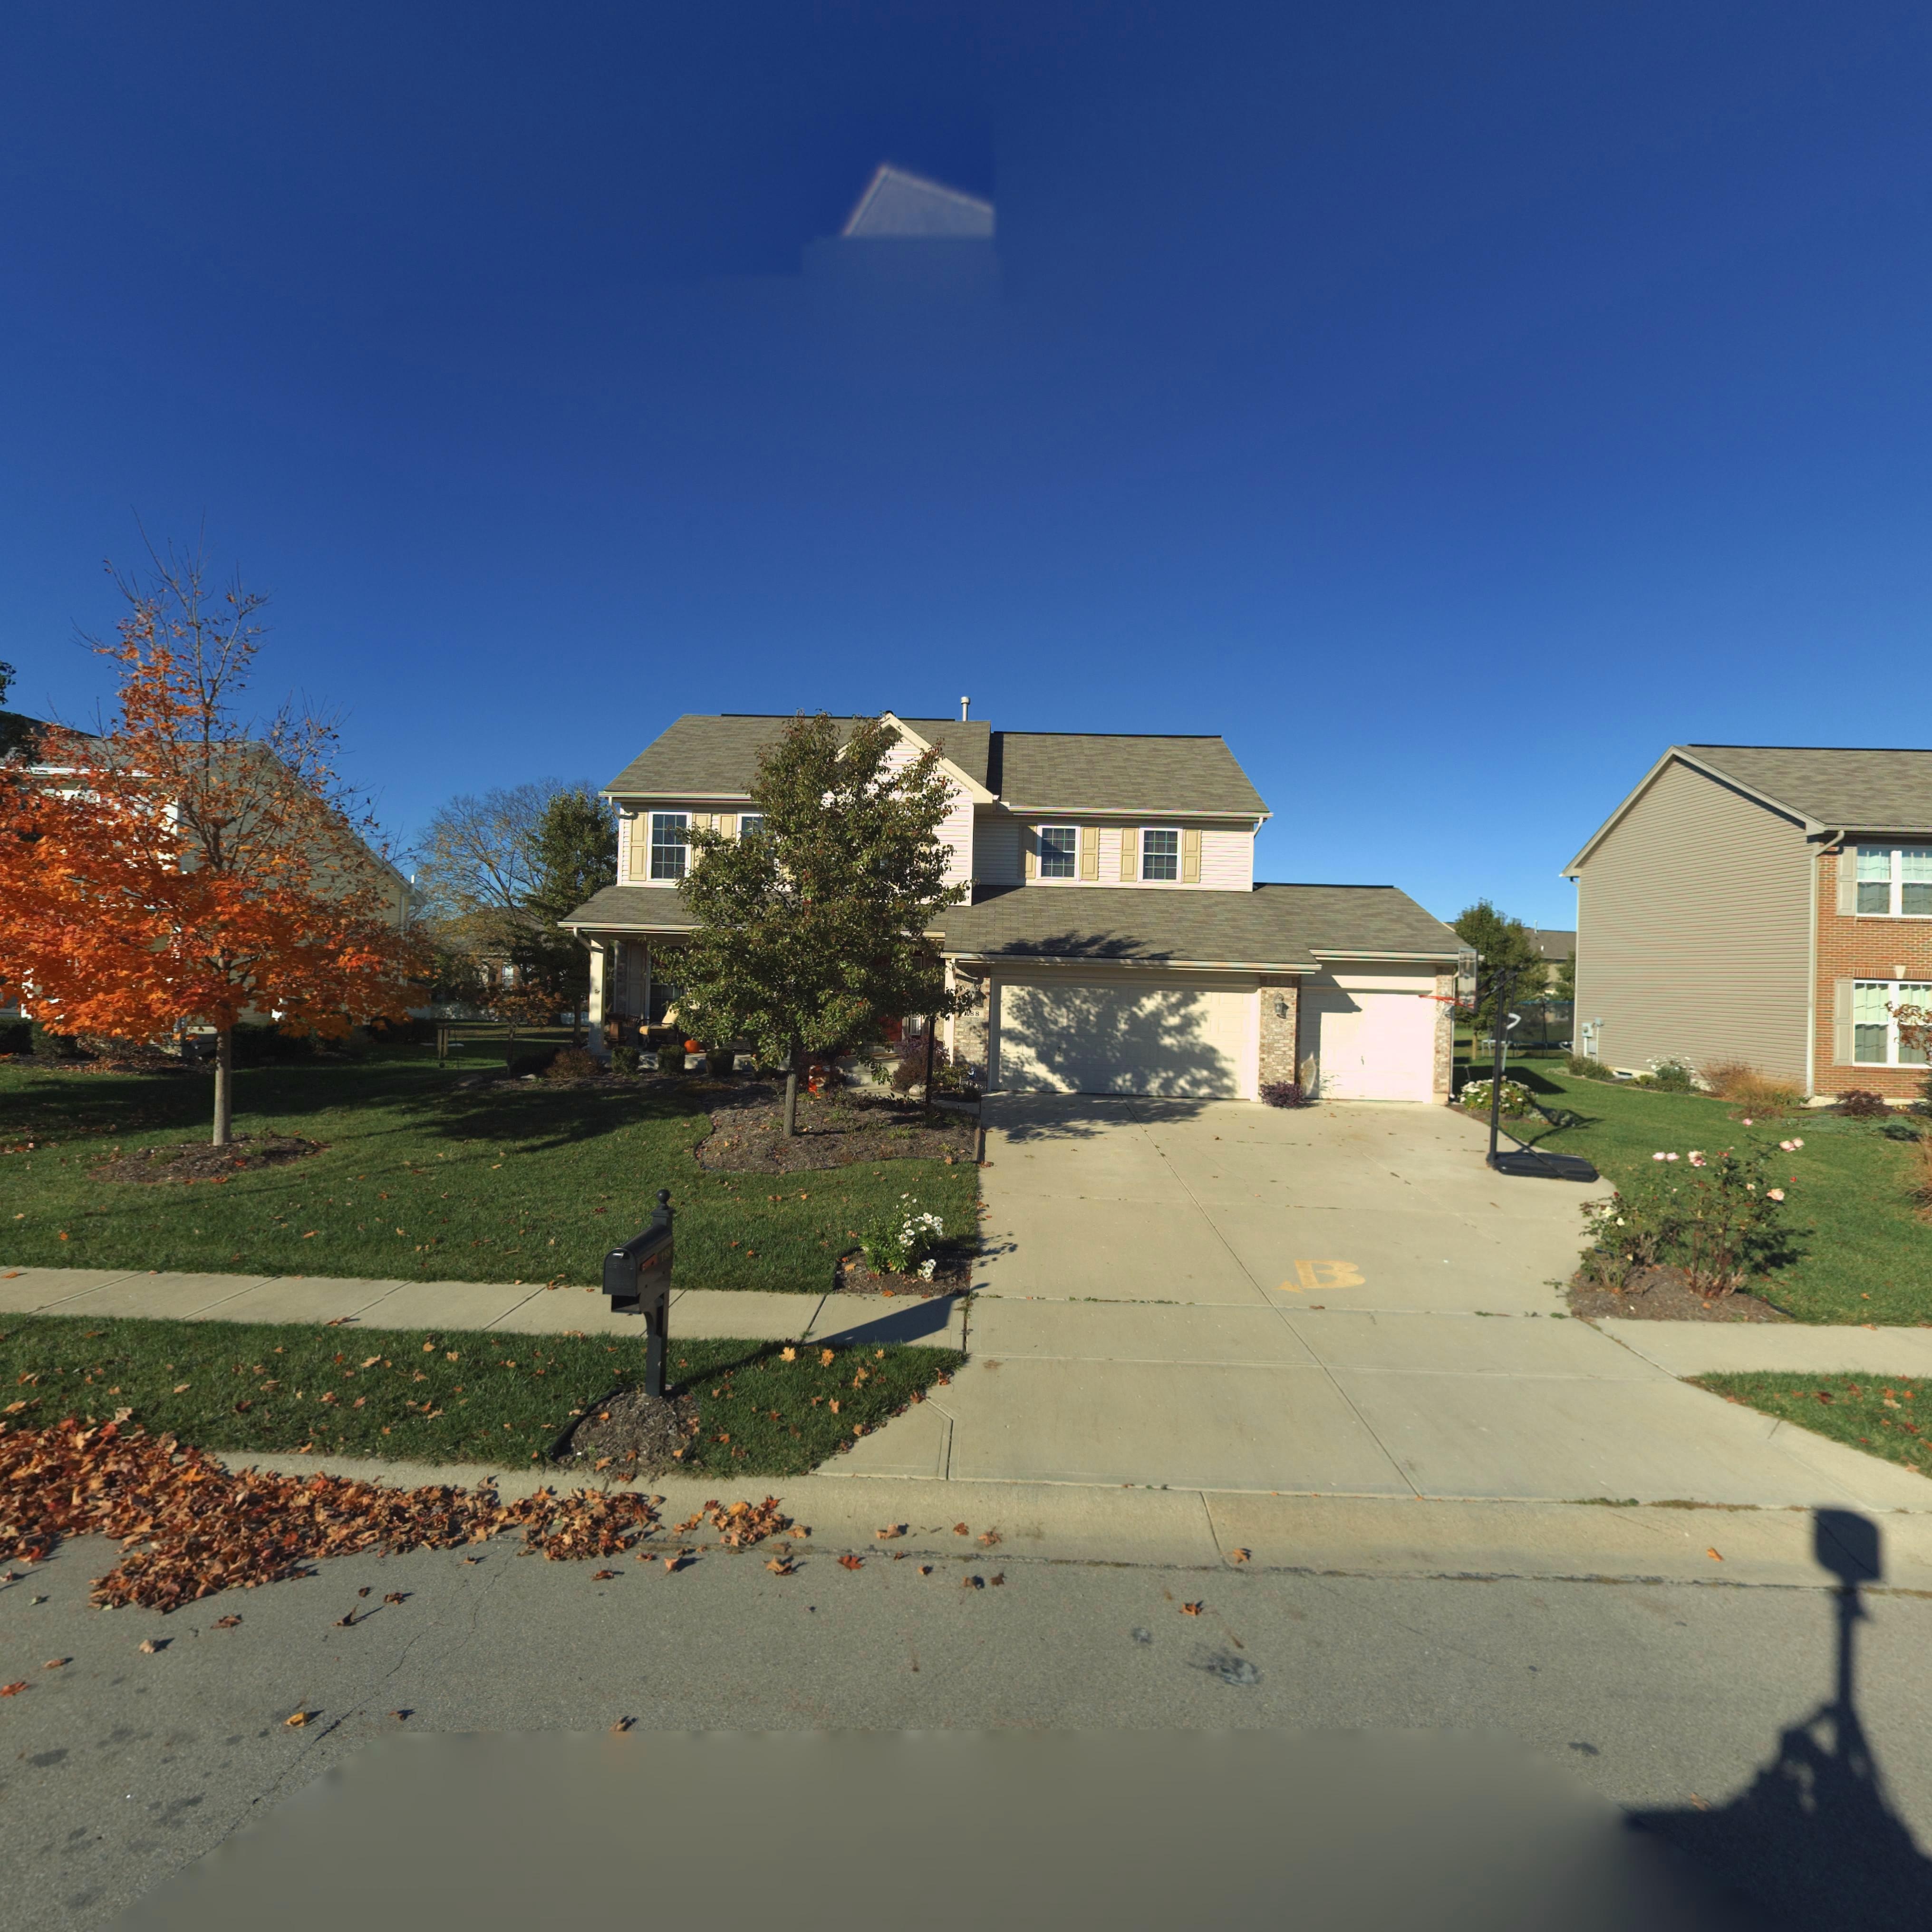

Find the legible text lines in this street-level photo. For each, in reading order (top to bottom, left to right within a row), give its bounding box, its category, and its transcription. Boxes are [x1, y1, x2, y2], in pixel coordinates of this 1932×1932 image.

[969, 1010, 981, 1017] StreetNumber: 88
[660, 1244, 673, 1264] StreetNumber: 188